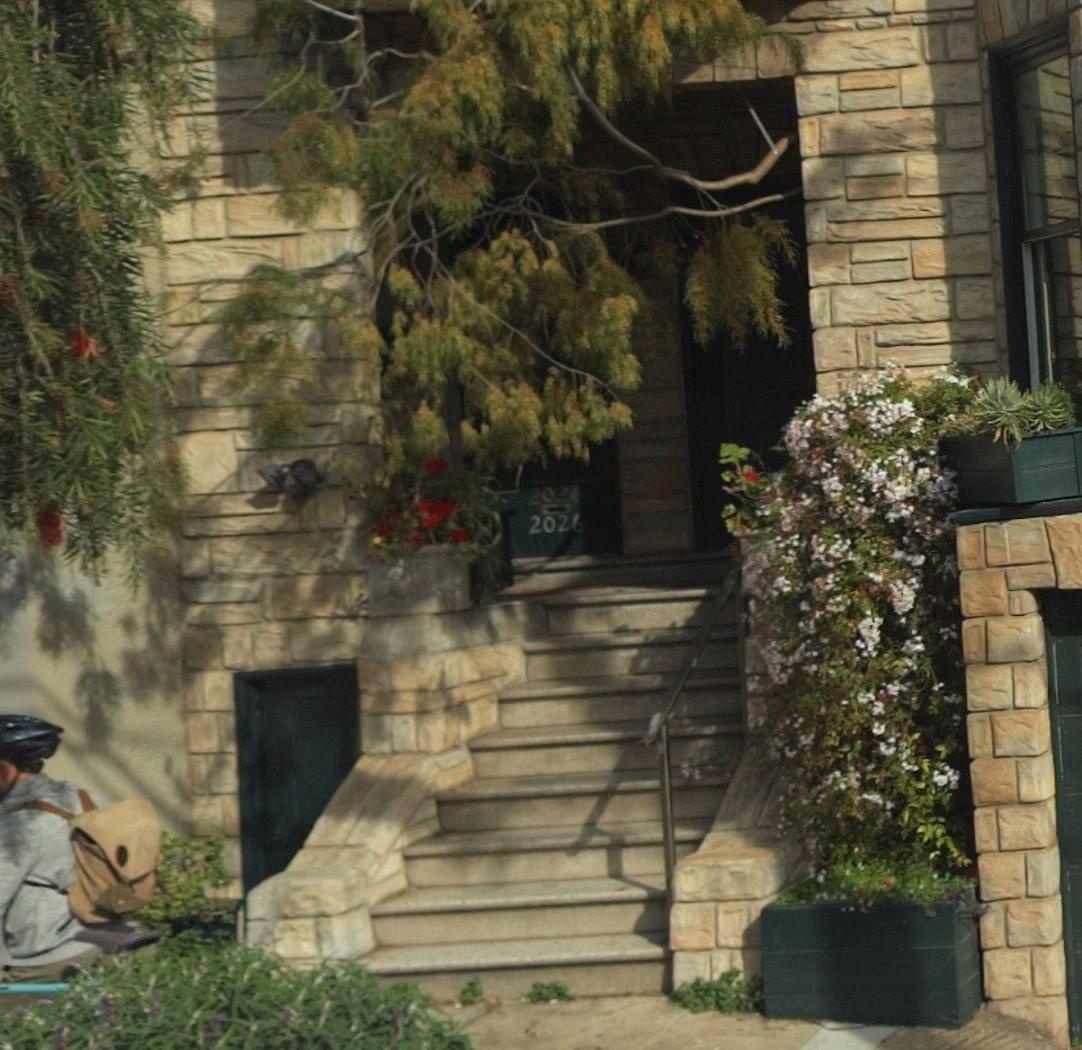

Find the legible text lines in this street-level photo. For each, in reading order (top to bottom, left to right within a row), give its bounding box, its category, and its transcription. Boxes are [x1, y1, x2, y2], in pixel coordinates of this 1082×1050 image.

[526, 482, 583, 507] StreetNumber: 2024
[527, 510, 586, 538] StreetNumber: 2026